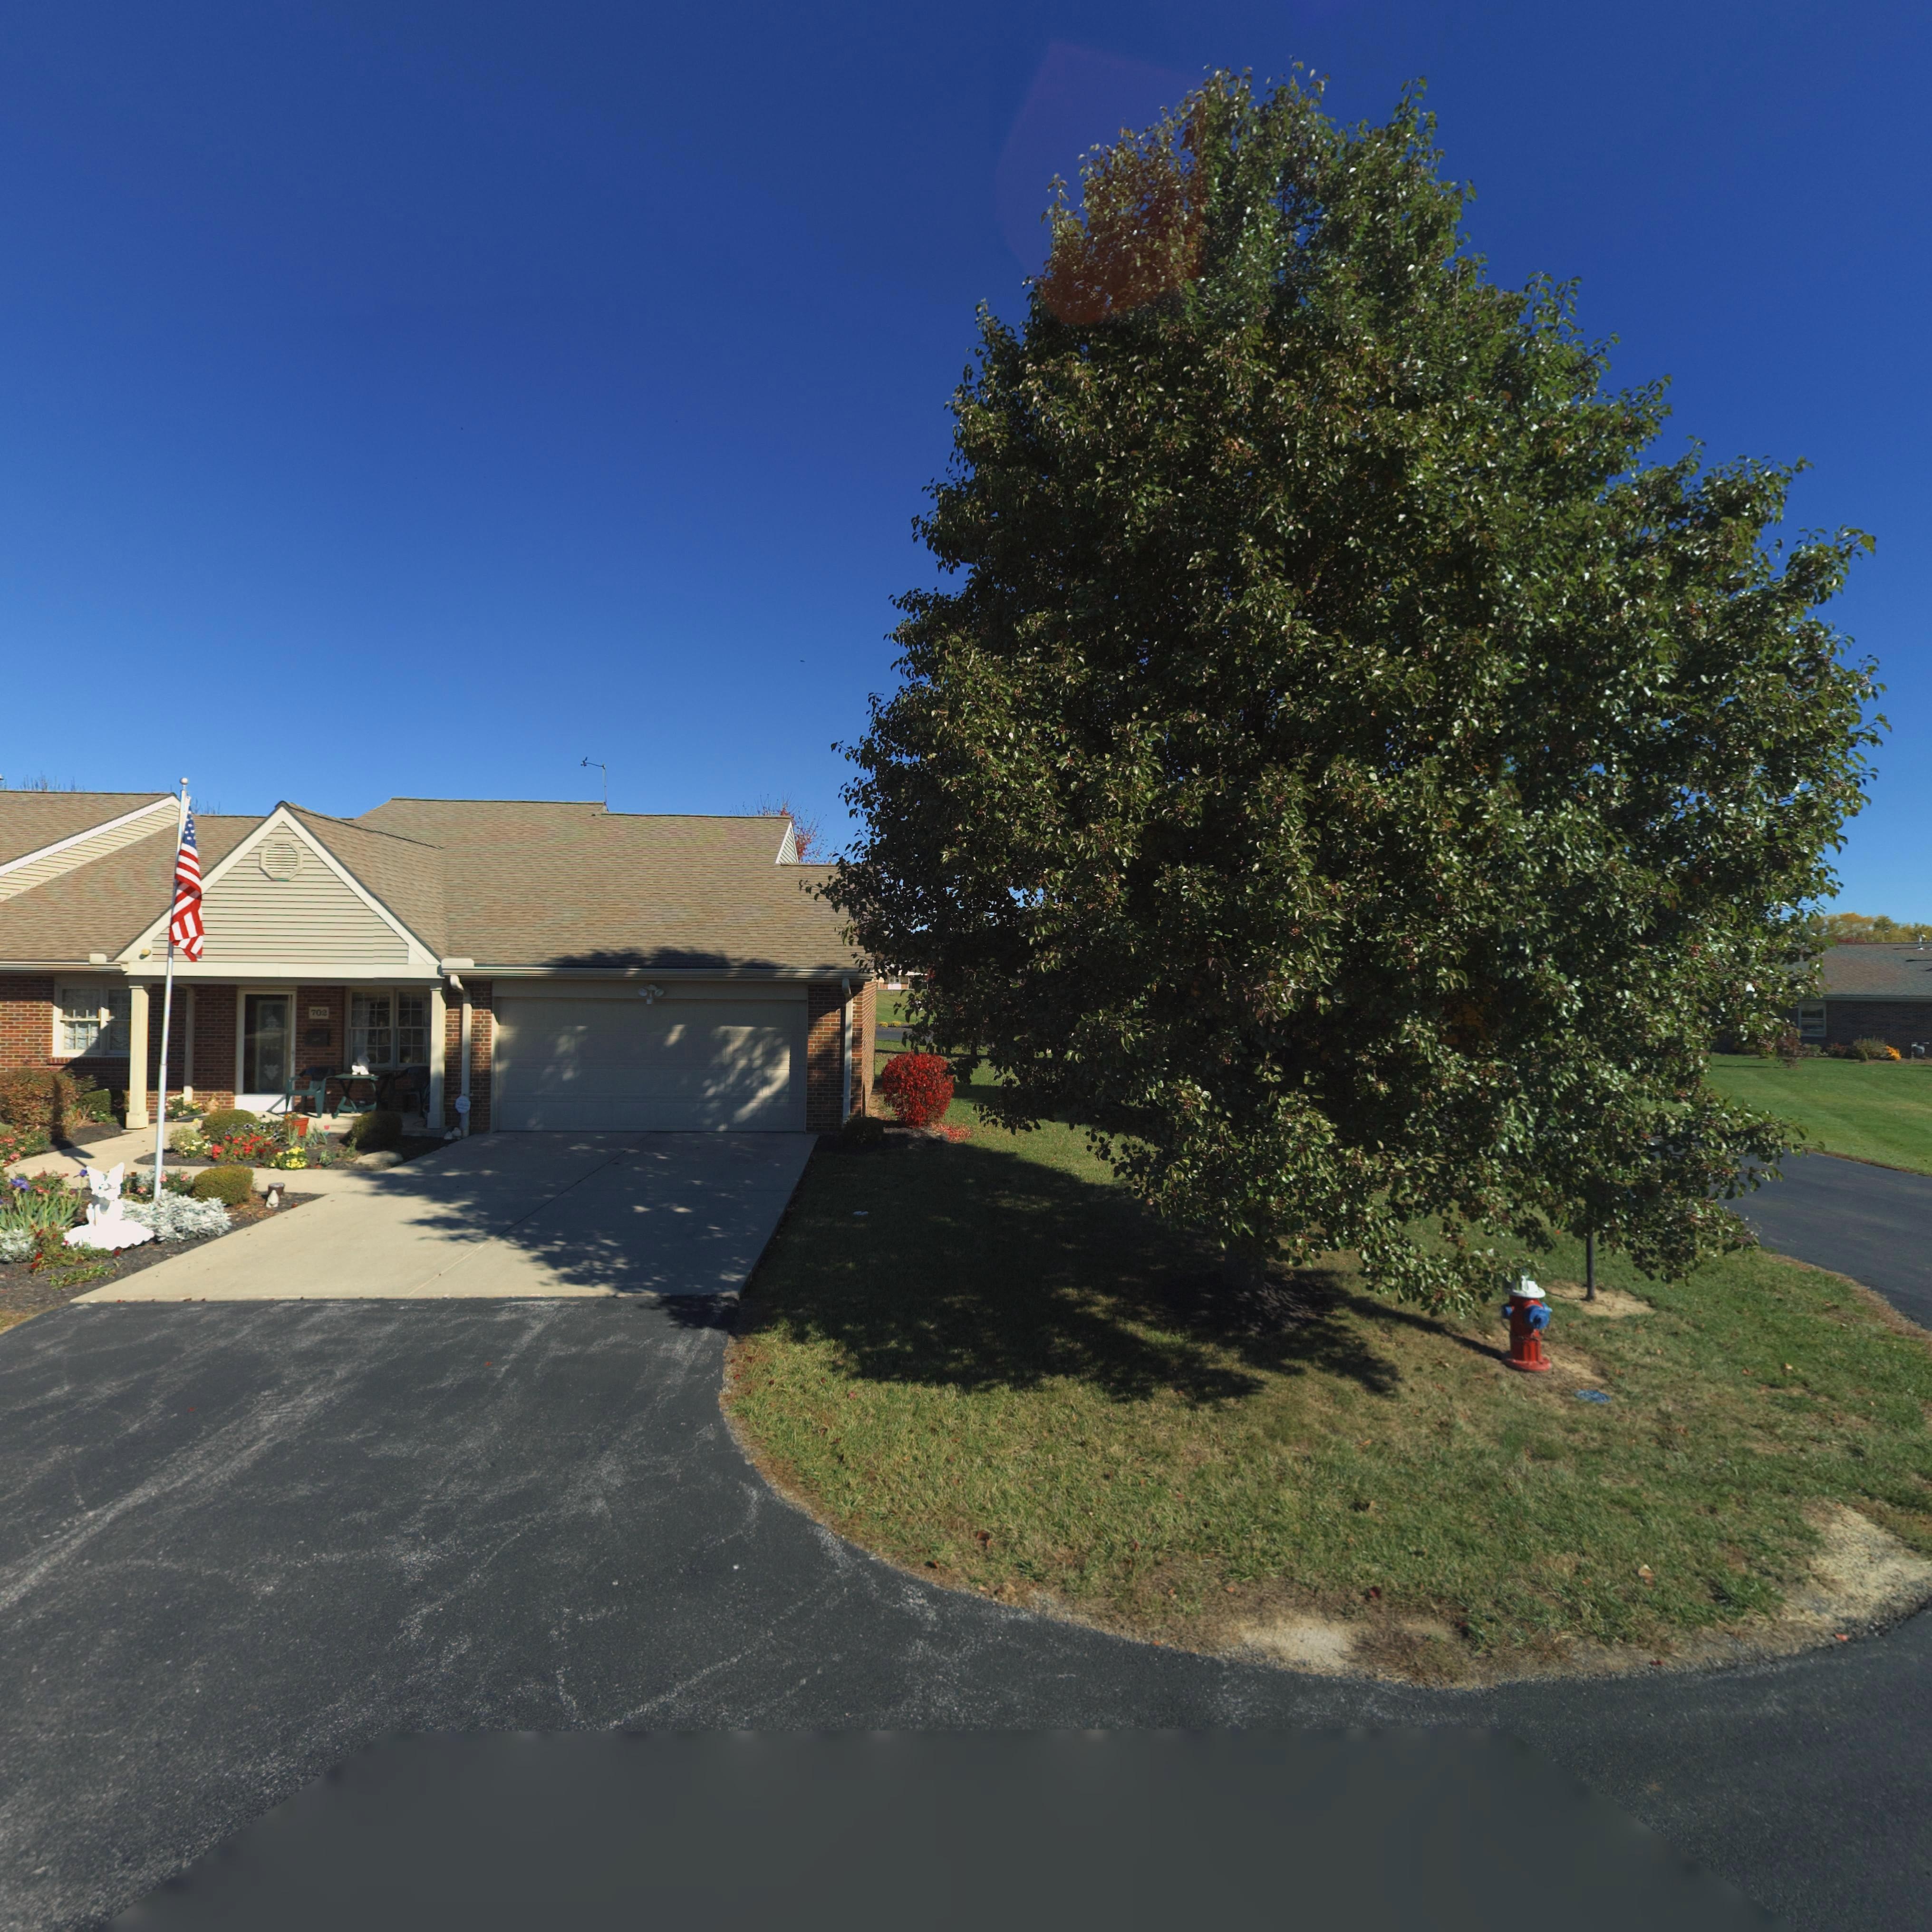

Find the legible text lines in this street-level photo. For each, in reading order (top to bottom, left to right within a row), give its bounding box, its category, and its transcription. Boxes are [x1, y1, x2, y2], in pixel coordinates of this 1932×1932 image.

[310, 1009, 328, 1016] StreetNumber: 702